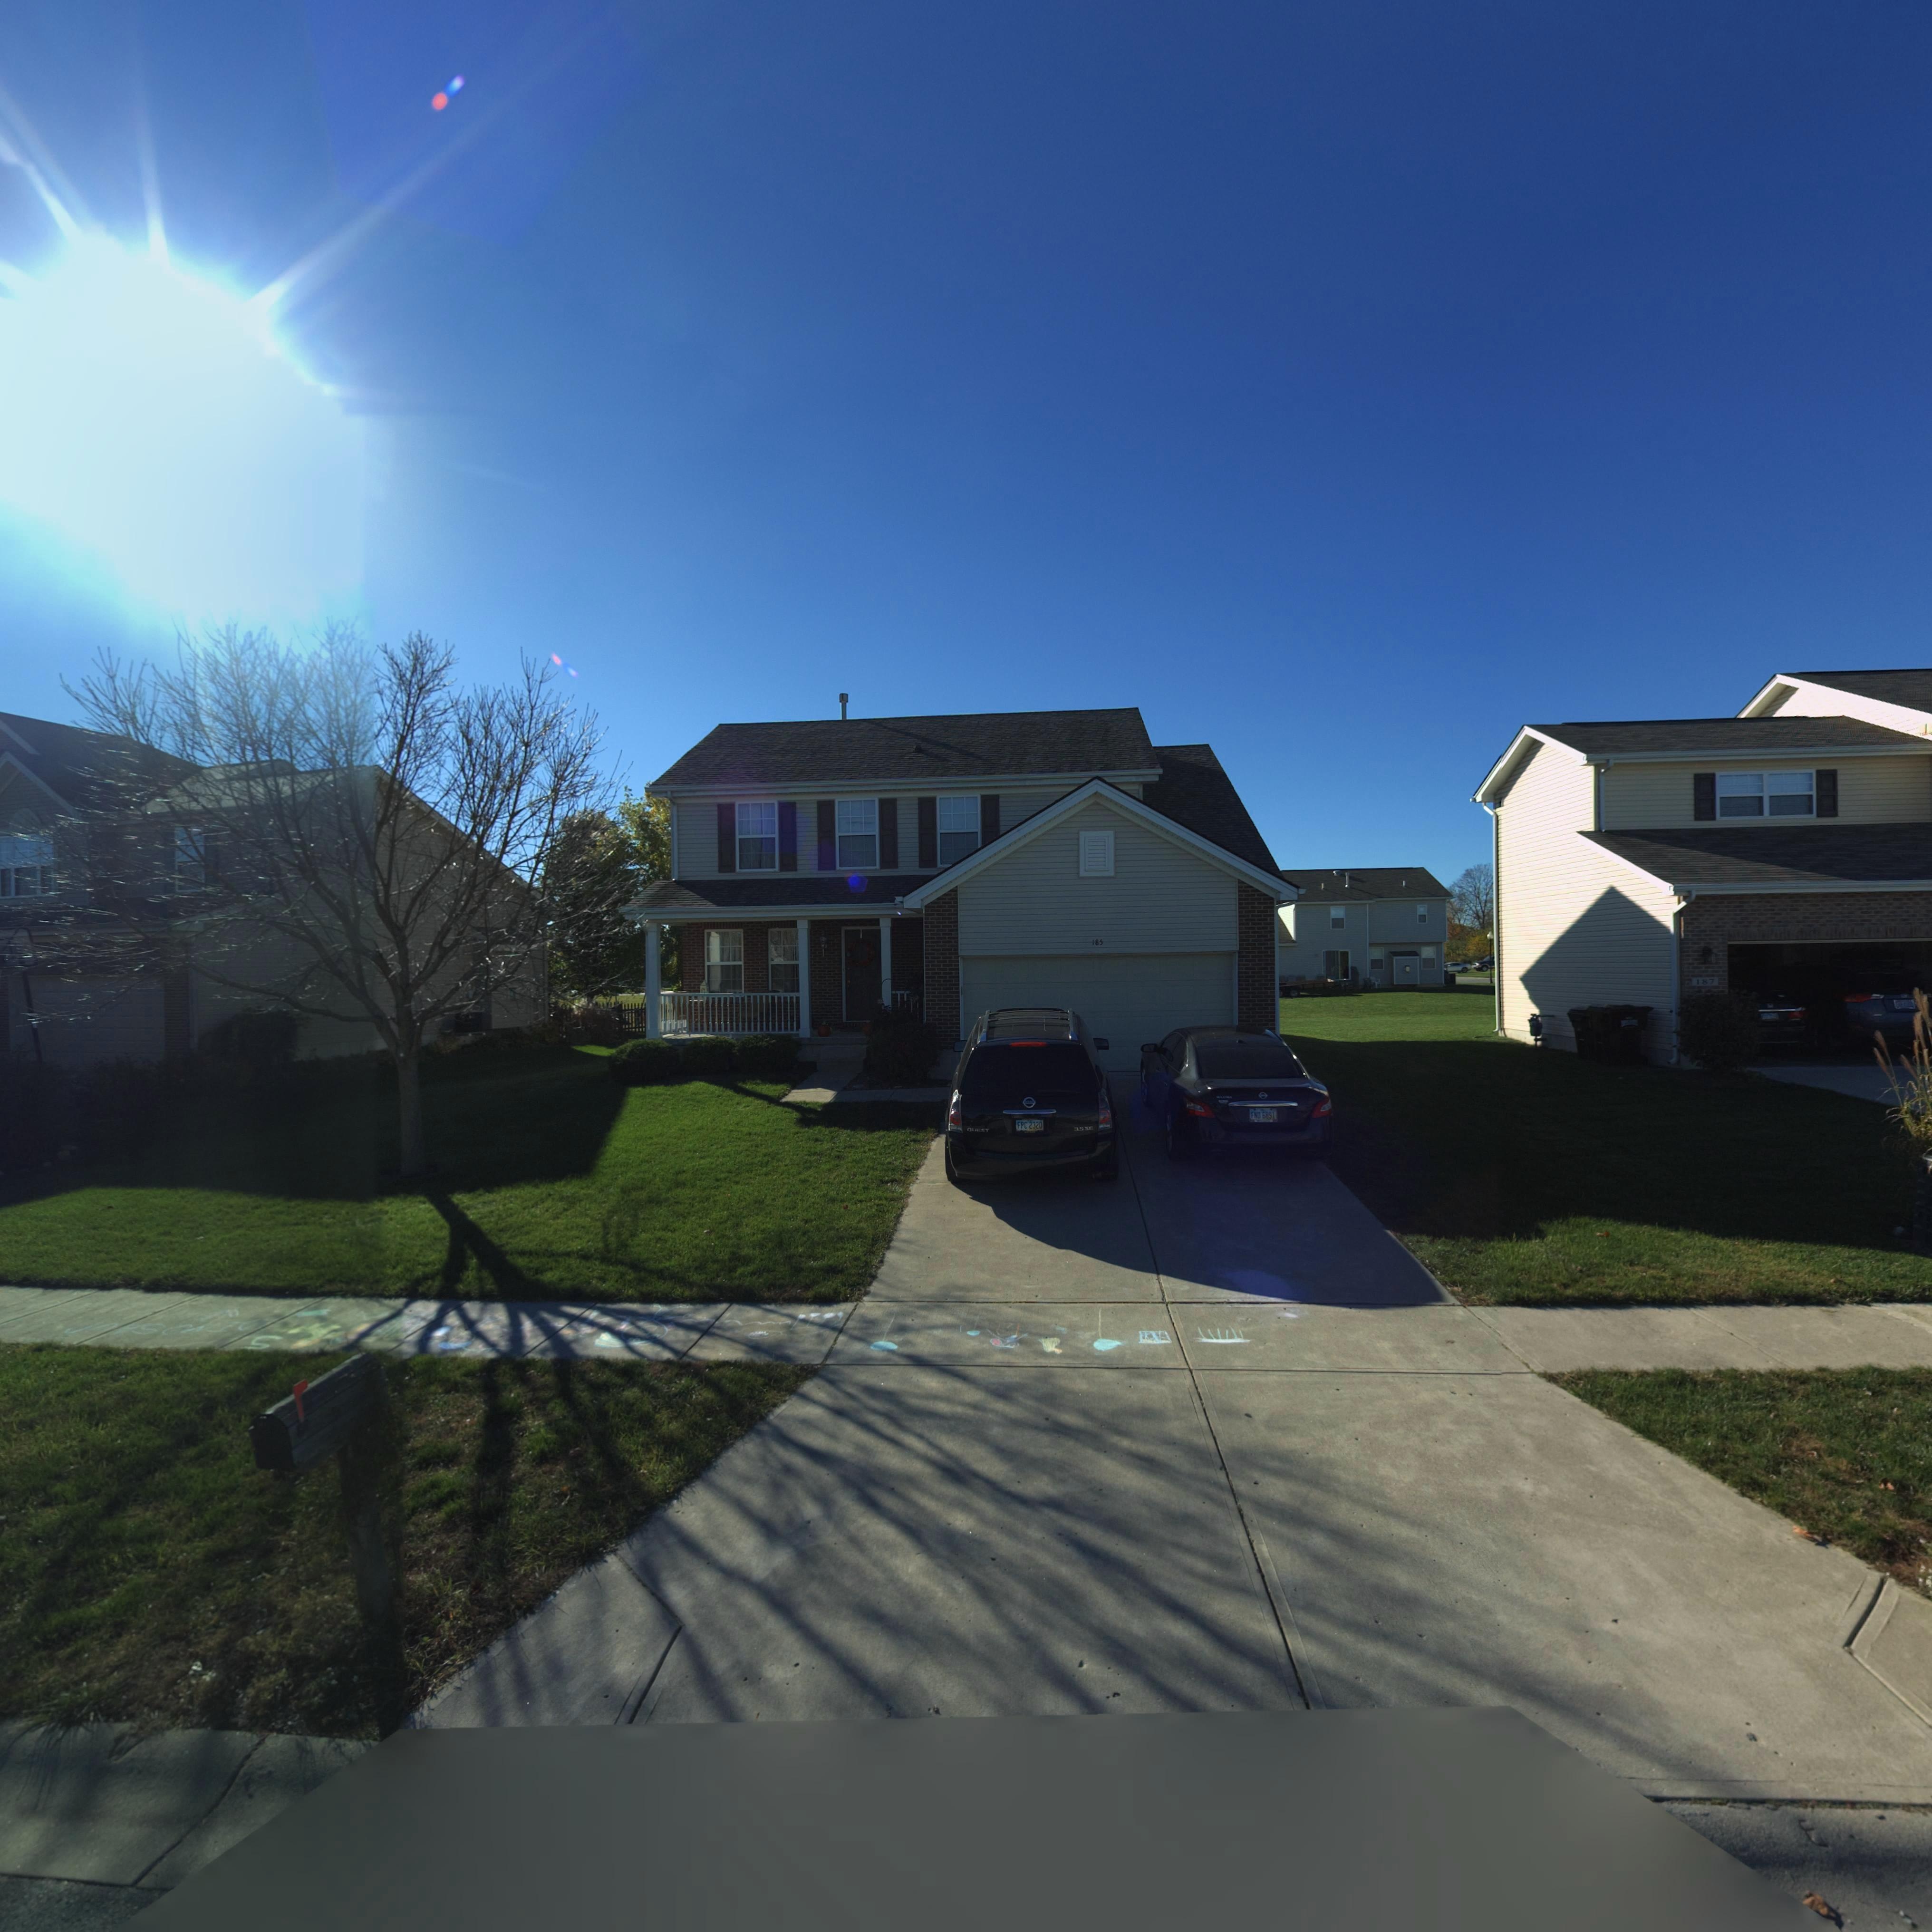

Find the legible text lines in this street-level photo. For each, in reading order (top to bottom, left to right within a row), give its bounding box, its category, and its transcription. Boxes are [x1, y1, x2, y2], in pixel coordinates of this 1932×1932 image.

[1092, 939, 1103, 946] StreetNumber: 185
[1696, 978, 1715, 985] StreetNumber: 187